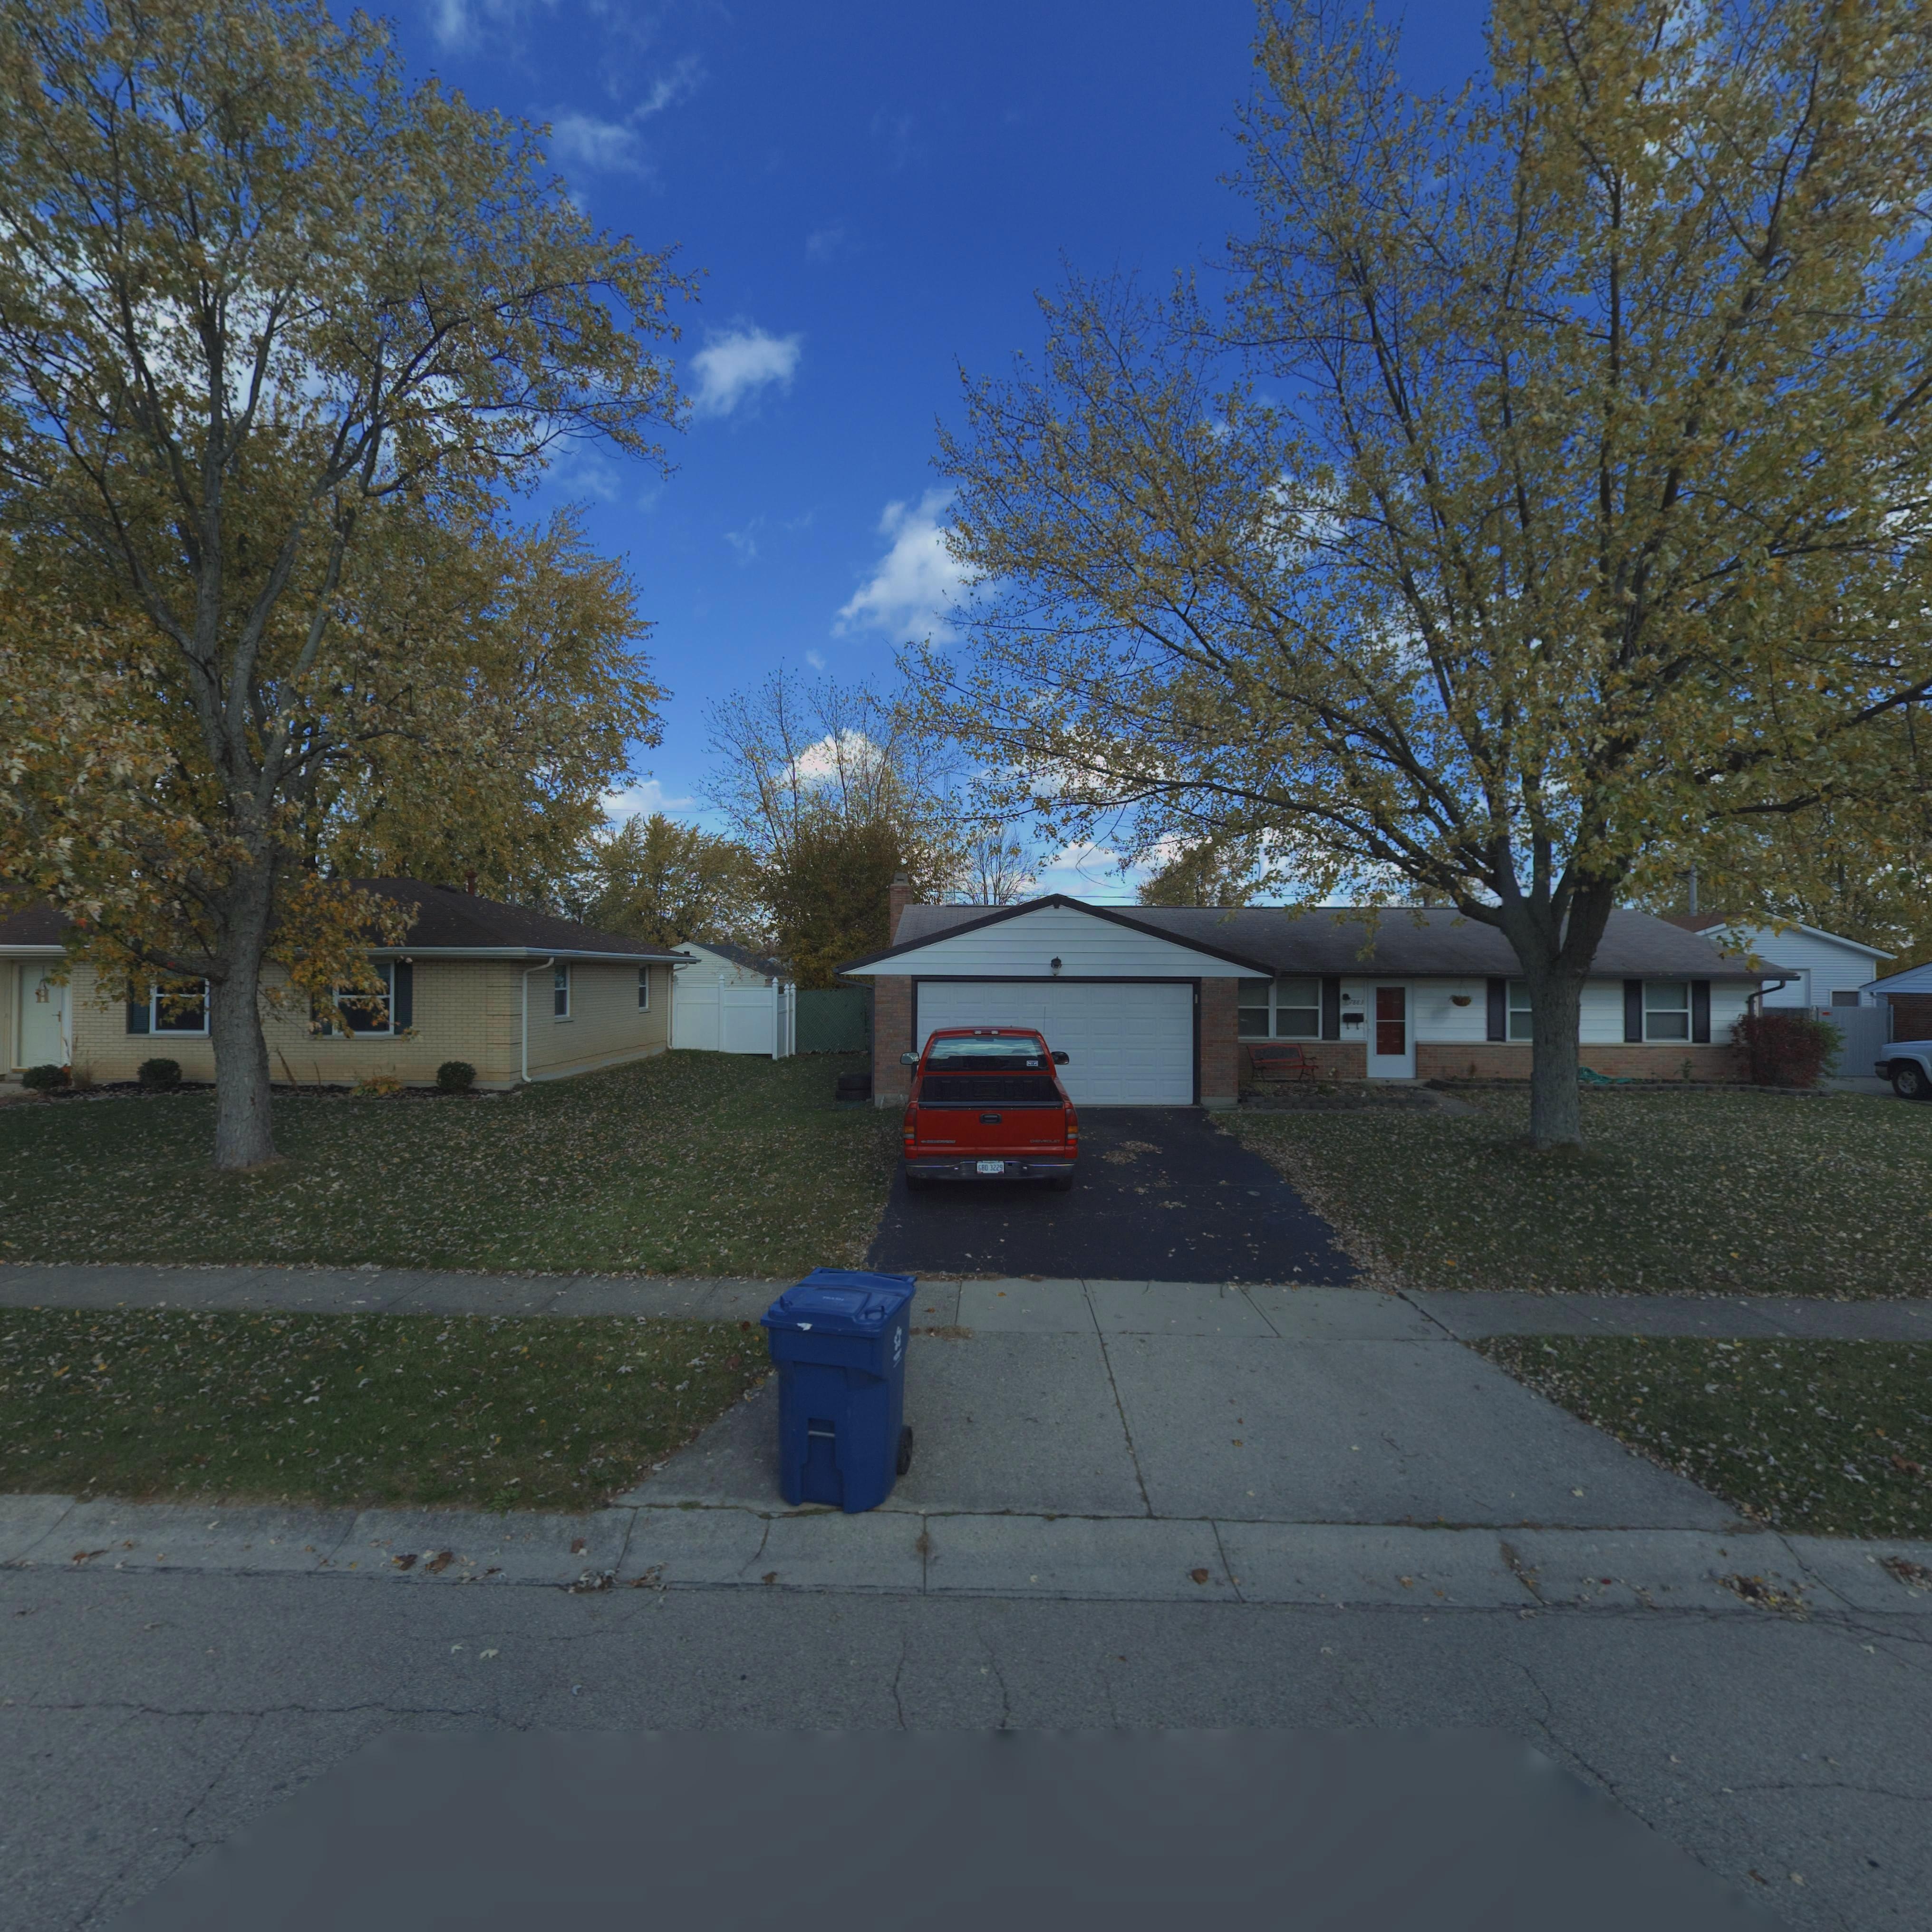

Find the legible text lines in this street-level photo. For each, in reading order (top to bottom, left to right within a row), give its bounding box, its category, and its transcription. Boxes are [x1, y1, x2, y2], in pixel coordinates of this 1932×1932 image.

[1349, 999, 1364, 1005] StreetNumber: 7883